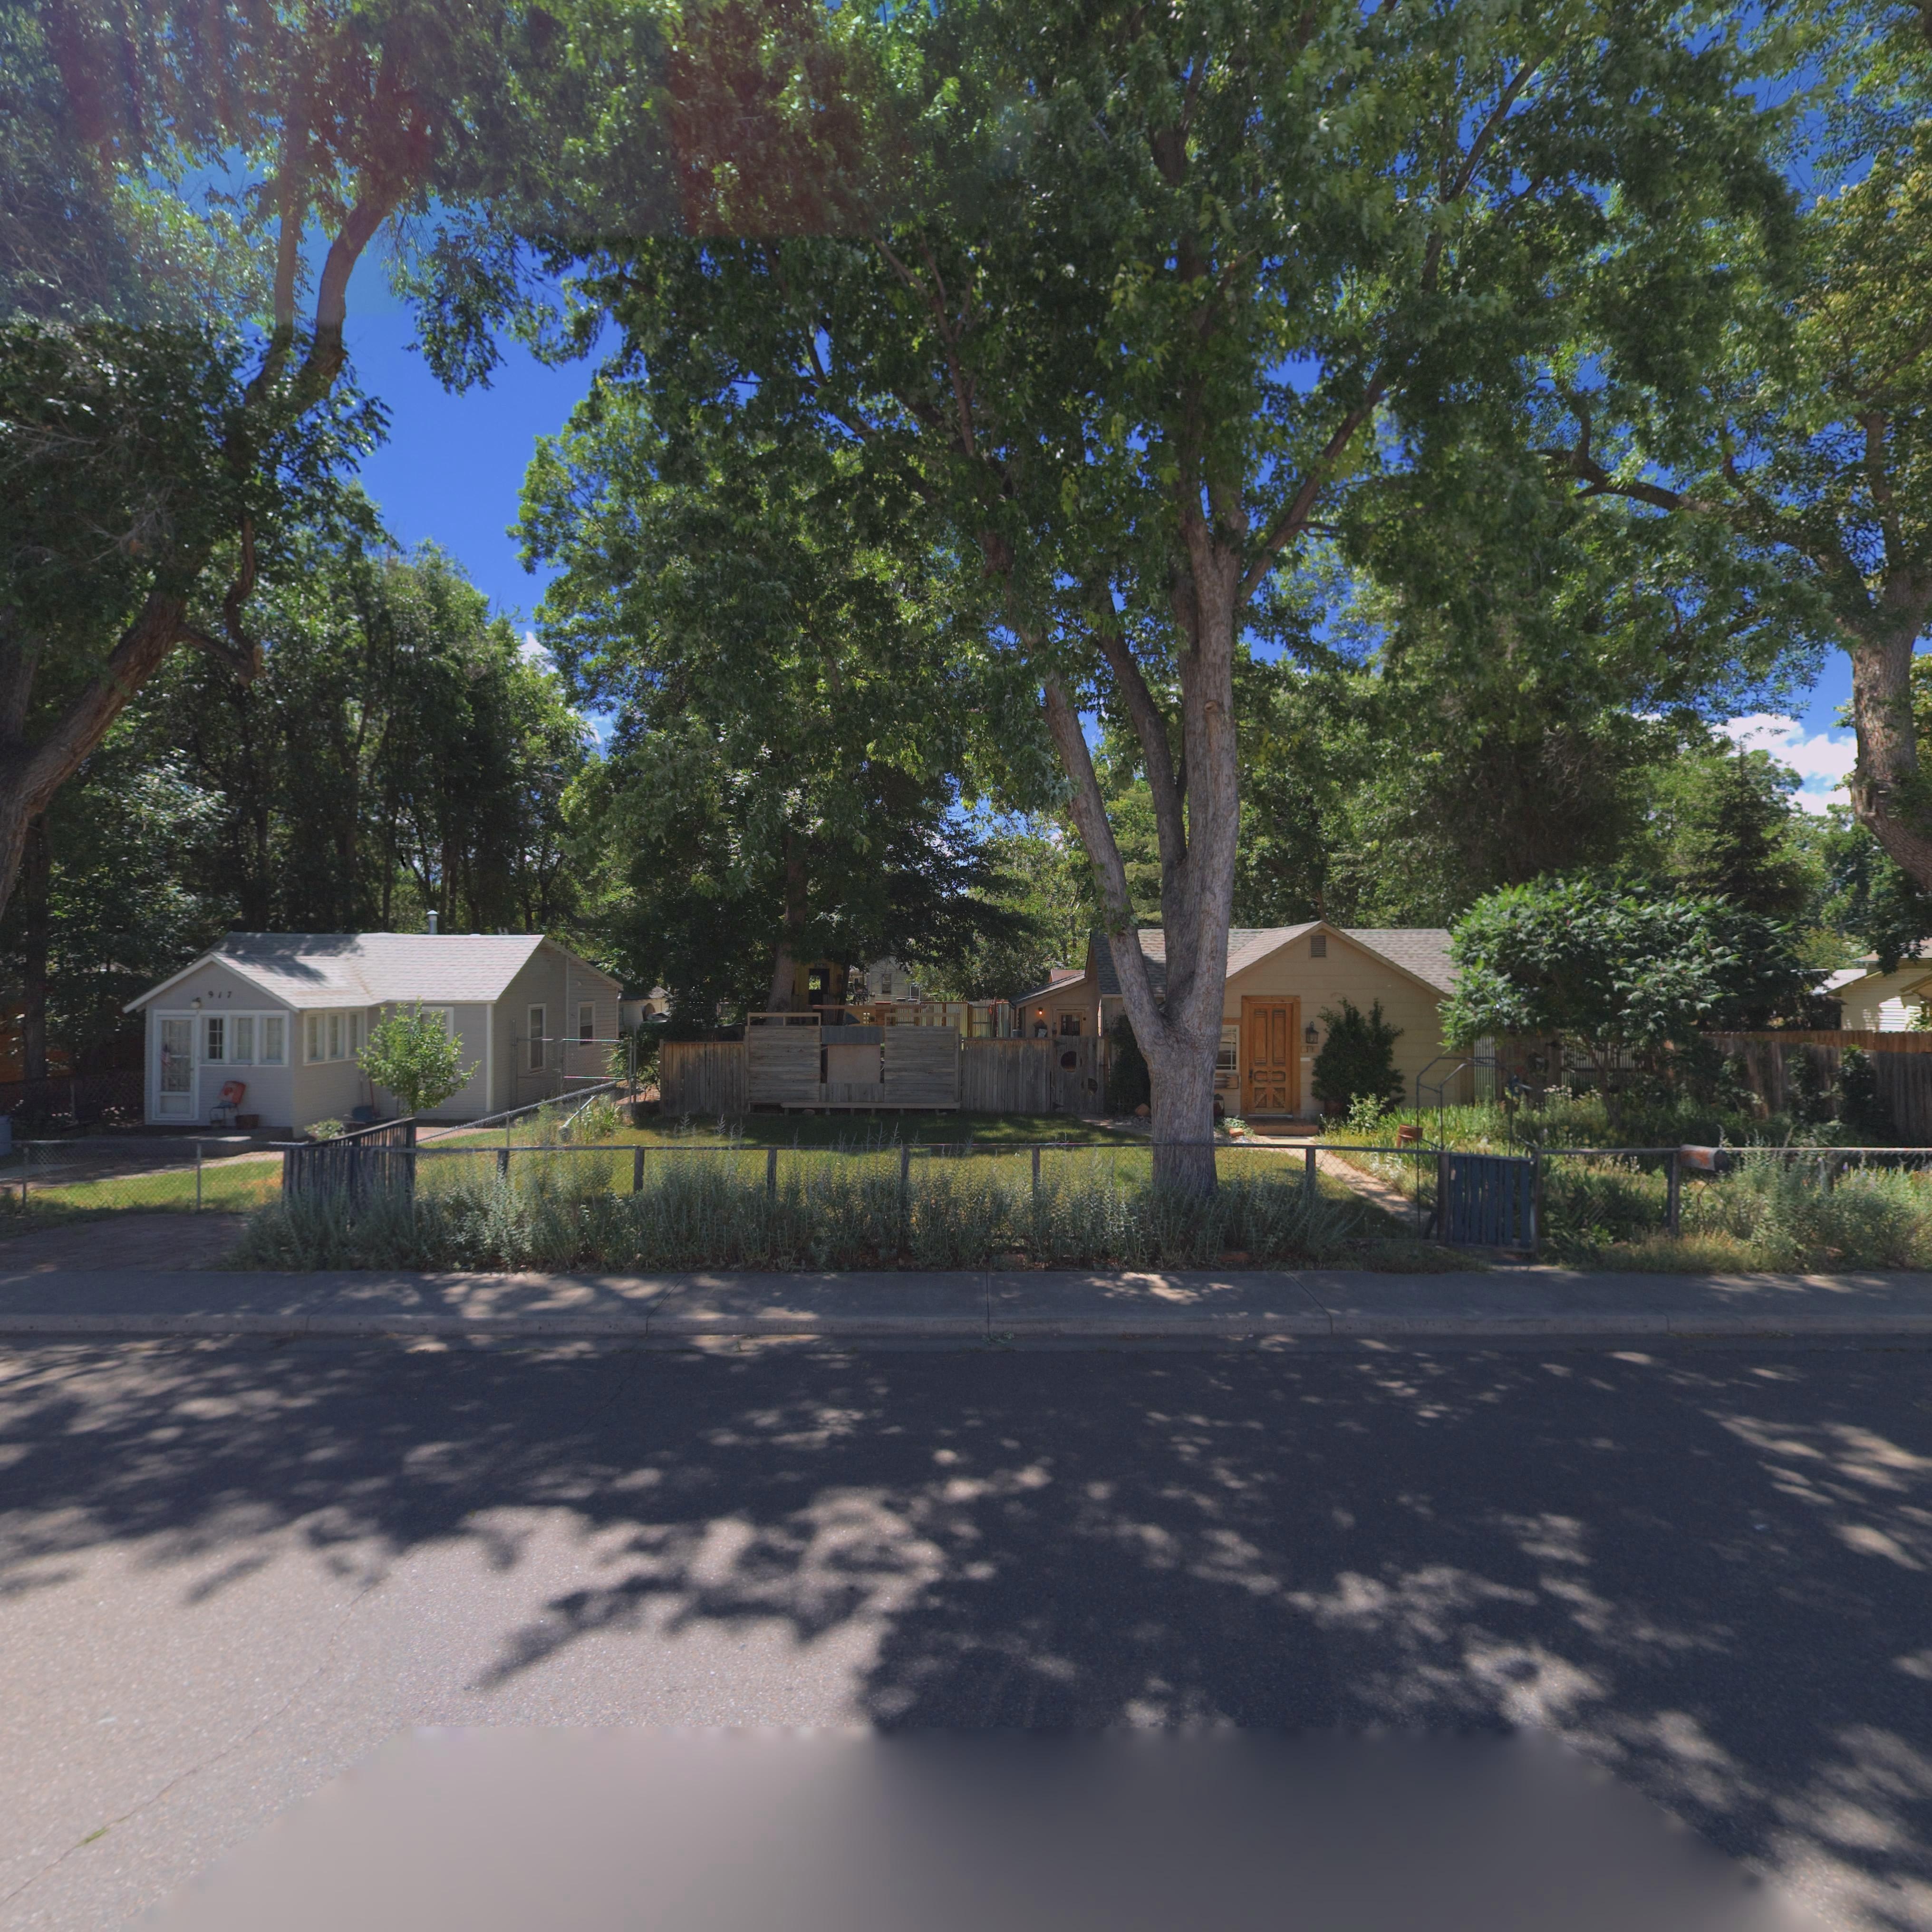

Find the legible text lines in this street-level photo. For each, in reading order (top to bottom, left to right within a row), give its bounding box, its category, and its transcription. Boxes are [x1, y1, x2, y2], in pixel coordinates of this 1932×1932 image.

[207, 990, 232, 999] StreetNumber: 917
[1305, 1046, 1314, 1053] StreetNumber: 919